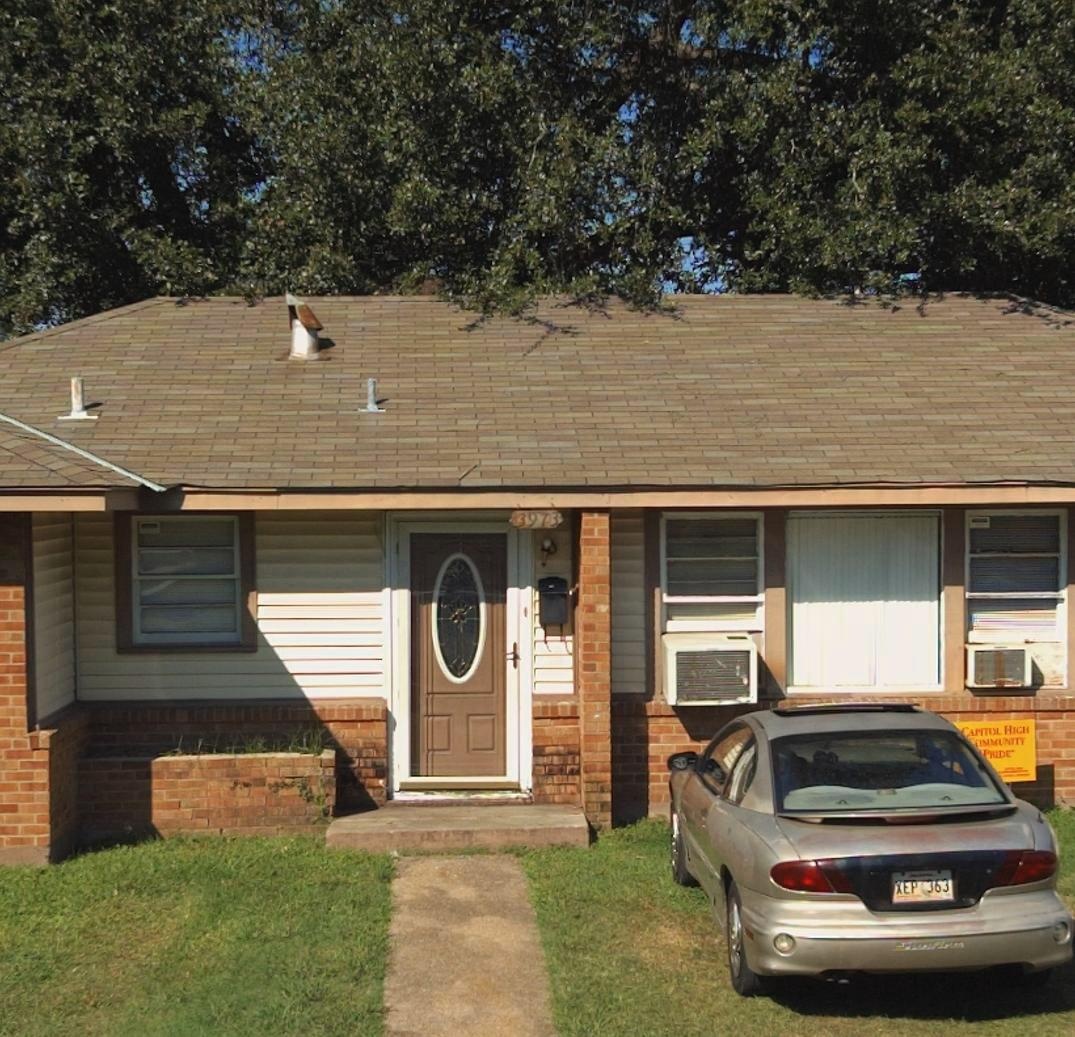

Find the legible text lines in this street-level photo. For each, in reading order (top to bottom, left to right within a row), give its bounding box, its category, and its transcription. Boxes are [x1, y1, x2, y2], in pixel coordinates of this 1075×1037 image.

[515, 511, 560, 529] StreetNumber: 3973
[959, 725, 1030, 738] None: CAPITOL HIGH
[978, 736, 1028, 748] None: MMUNITY
[983, 748, 1016, 760] None: *RIDE
[893, 877, 950, 896] None: XEP 363